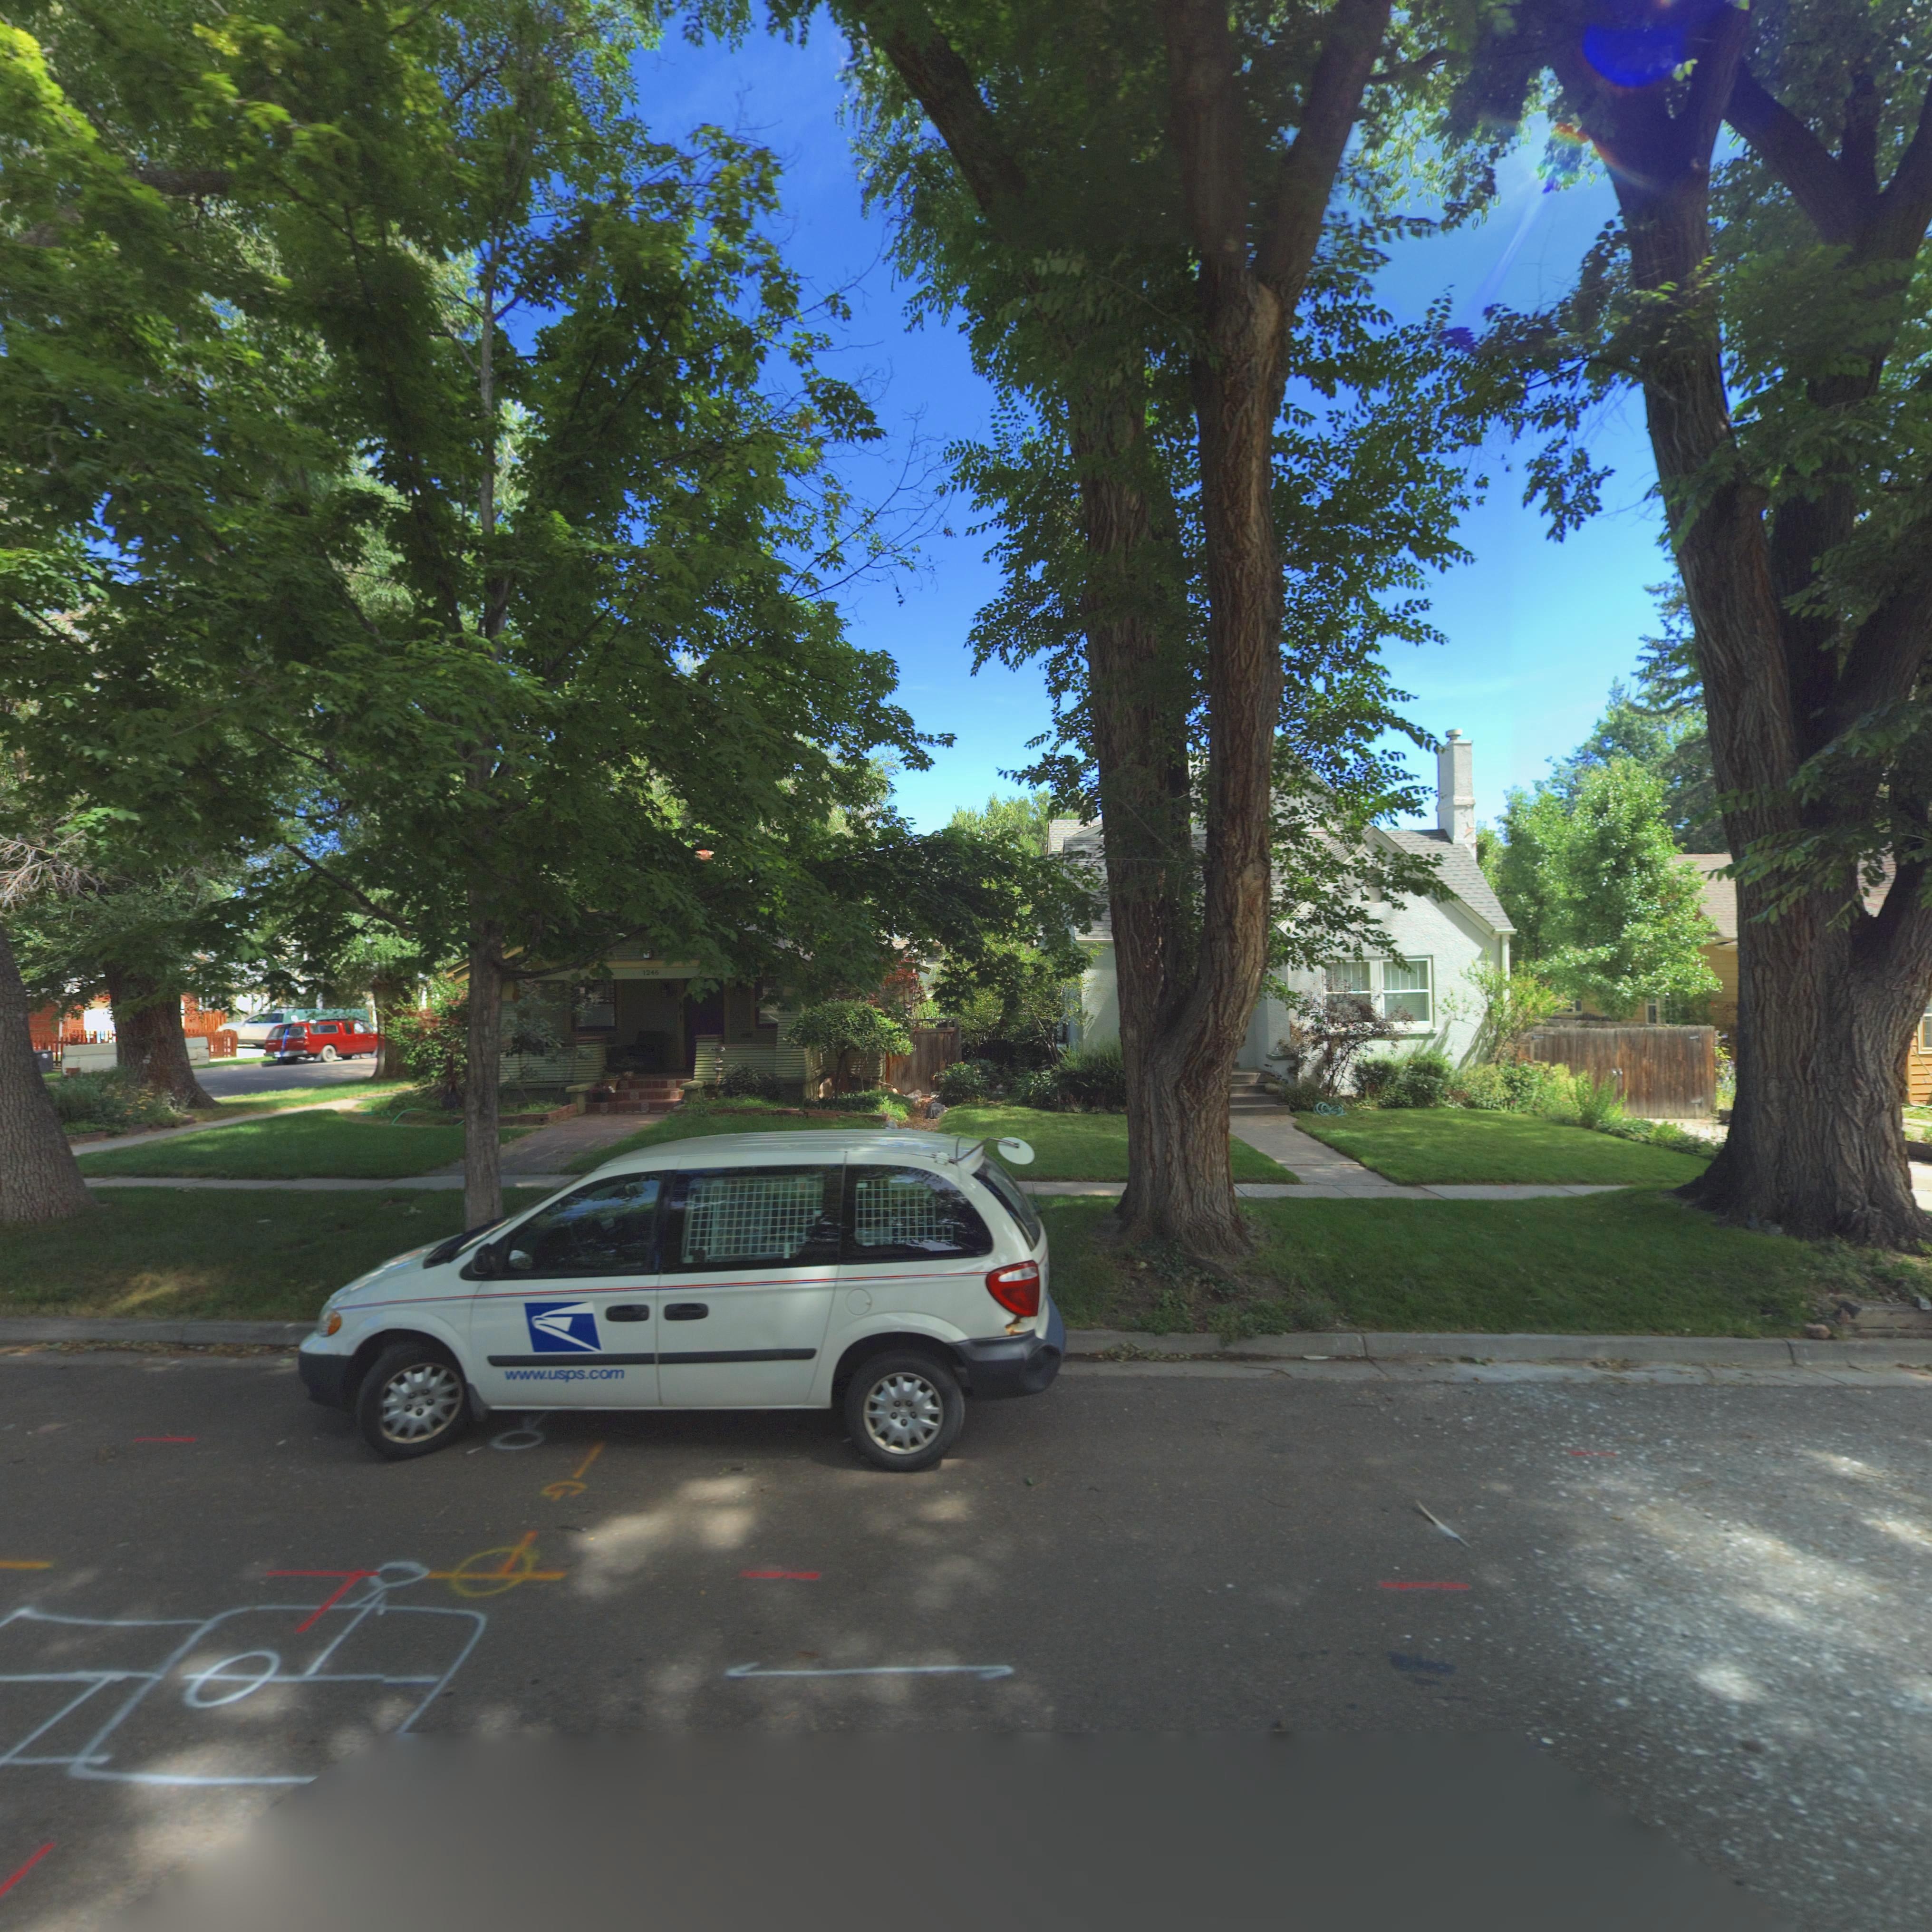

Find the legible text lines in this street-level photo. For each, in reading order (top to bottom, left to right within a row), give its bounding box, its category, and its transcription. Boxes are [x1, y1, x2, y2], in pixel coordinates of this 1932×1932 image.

[642, 969, 659, 976] StreetNumber: 1246